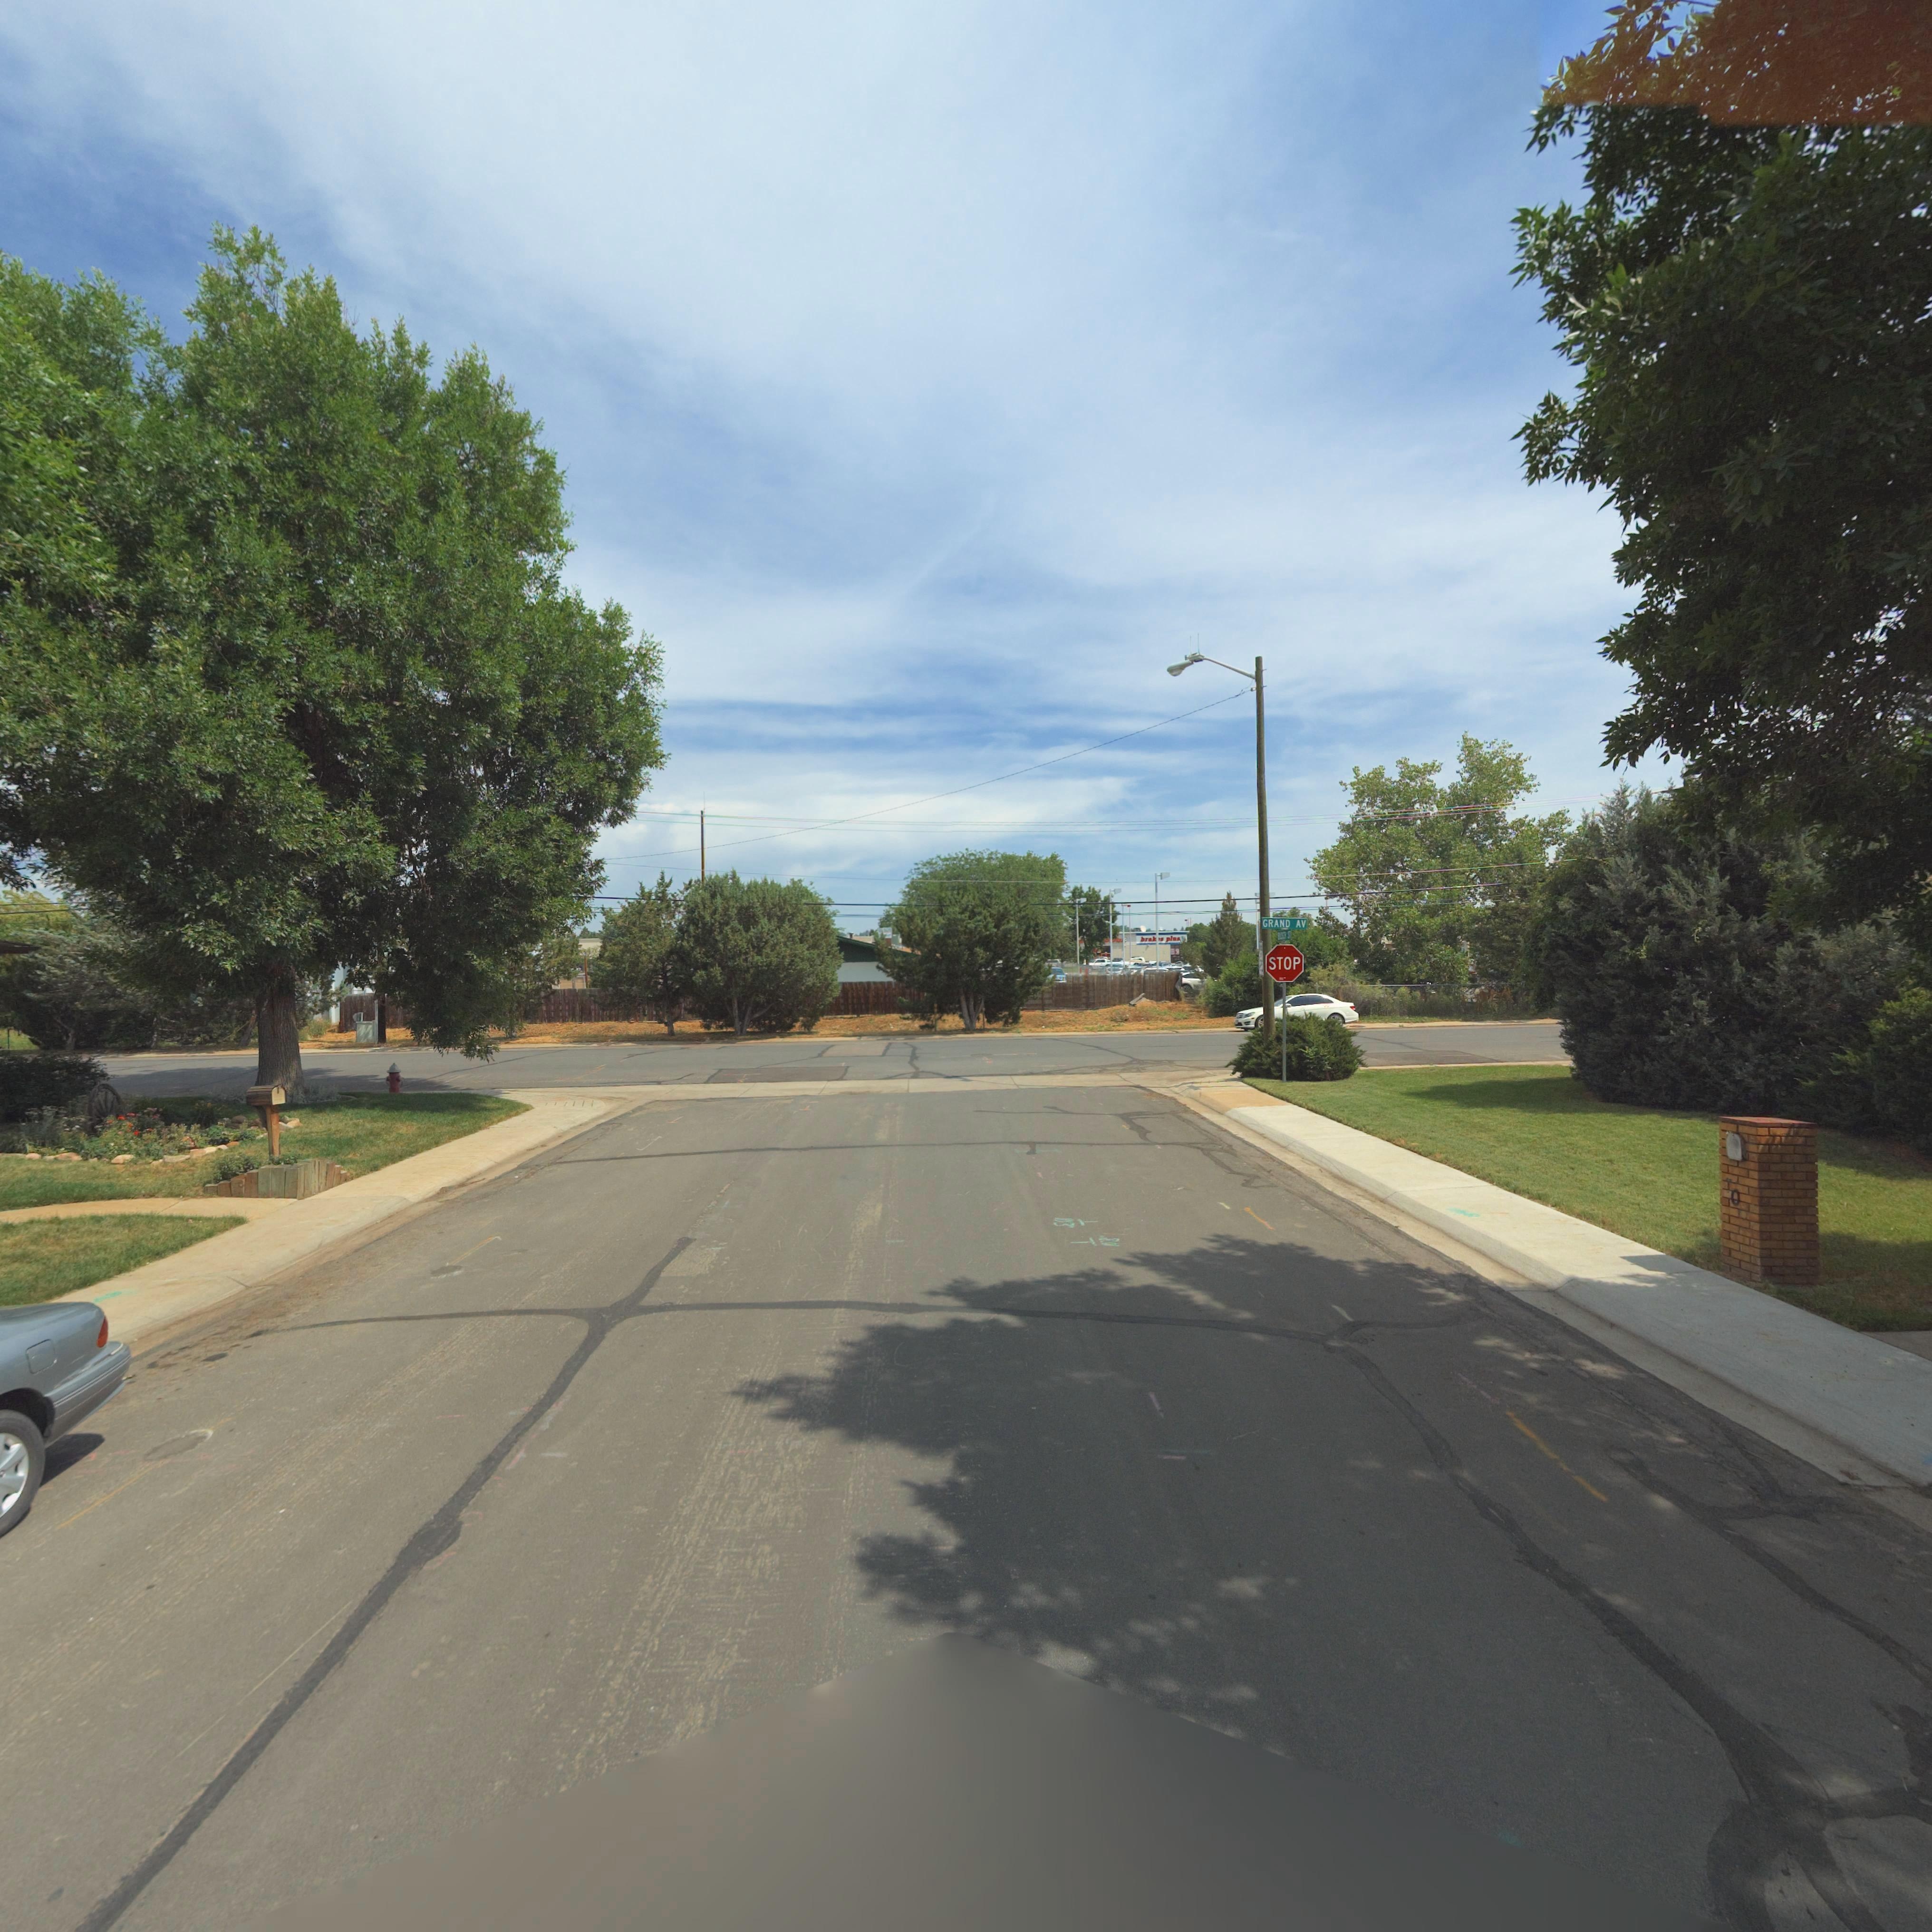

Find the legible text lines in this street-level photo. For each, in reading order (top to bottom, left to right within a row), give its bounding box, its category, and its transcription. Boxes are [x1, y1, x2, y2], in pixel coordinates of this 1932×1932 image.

[1262, 918, 1306, 928] StreetName: GRAND AV
[1140, 935, 1180, 942] BusinessName: brak*s plus
[1277, 930, 1291, 940] StreetName: ***** ST
[1724, 1177, 1741, 1207] StreetNumber: *0